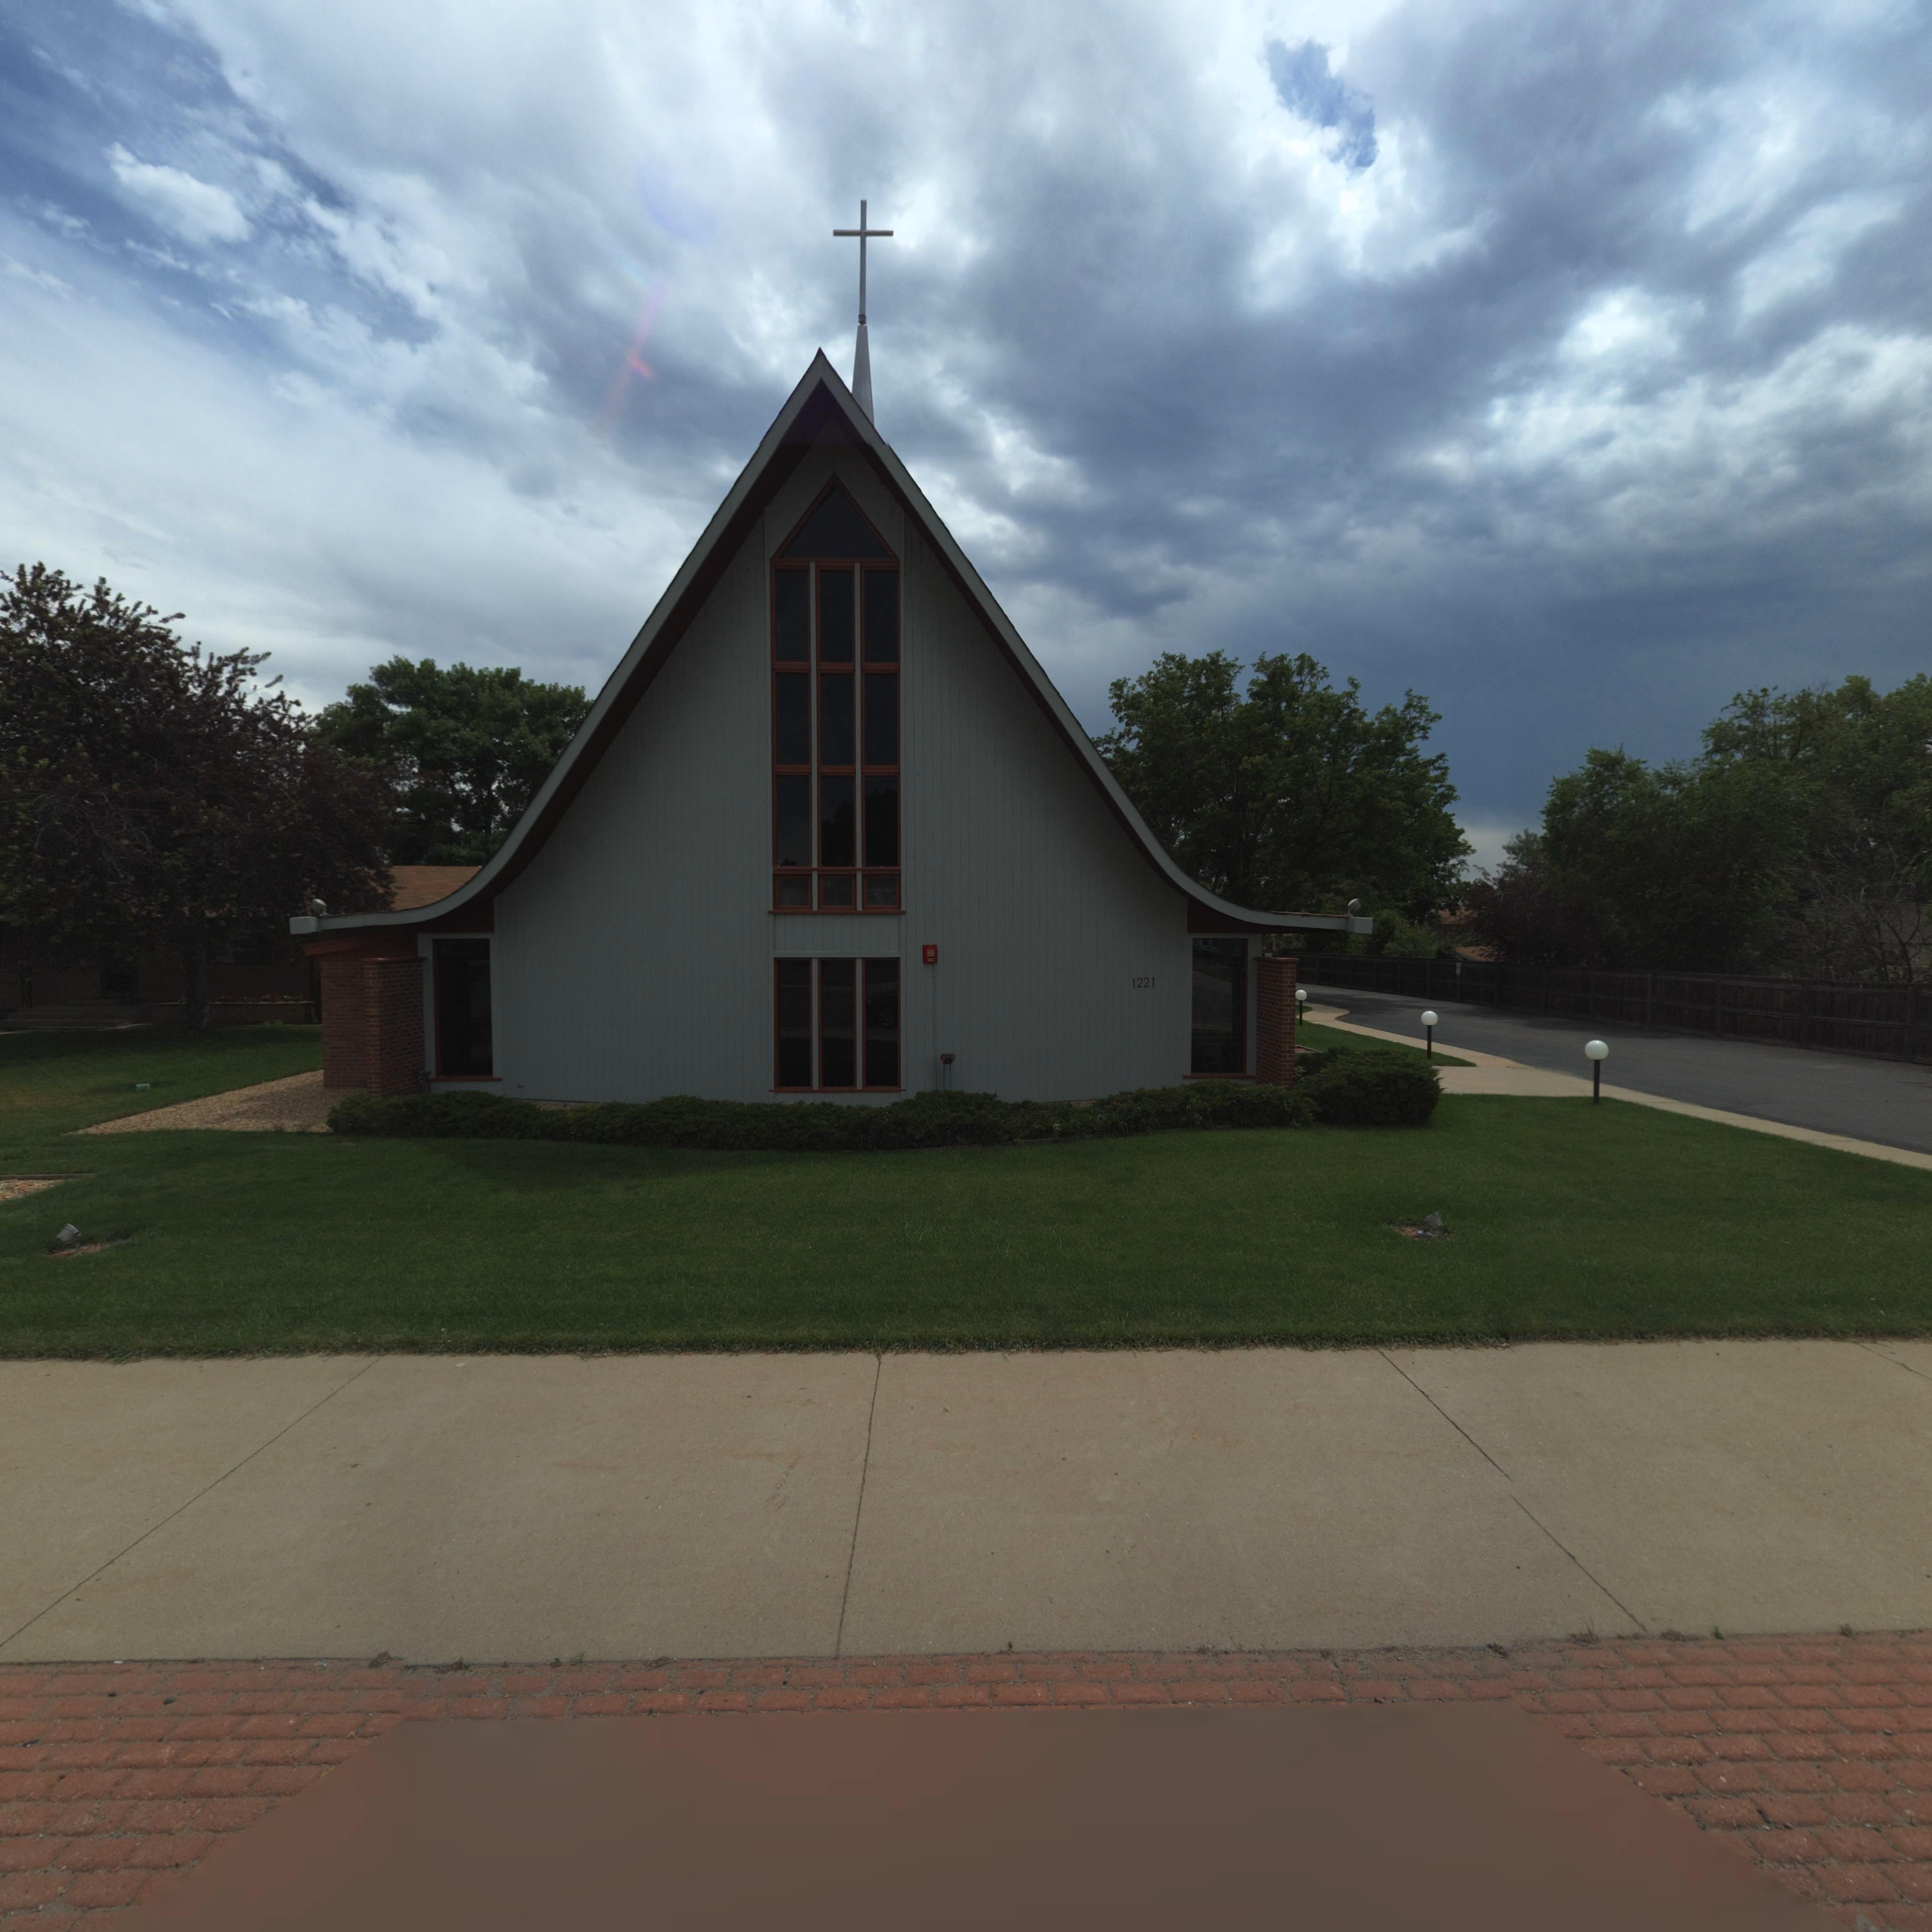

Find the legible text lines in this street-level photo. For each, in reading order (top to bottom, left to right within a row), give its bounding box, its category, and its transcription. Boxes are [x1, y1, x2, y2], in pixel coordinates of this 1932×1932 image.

[1131, 976, 1155, 989] StreetNumber: 1221